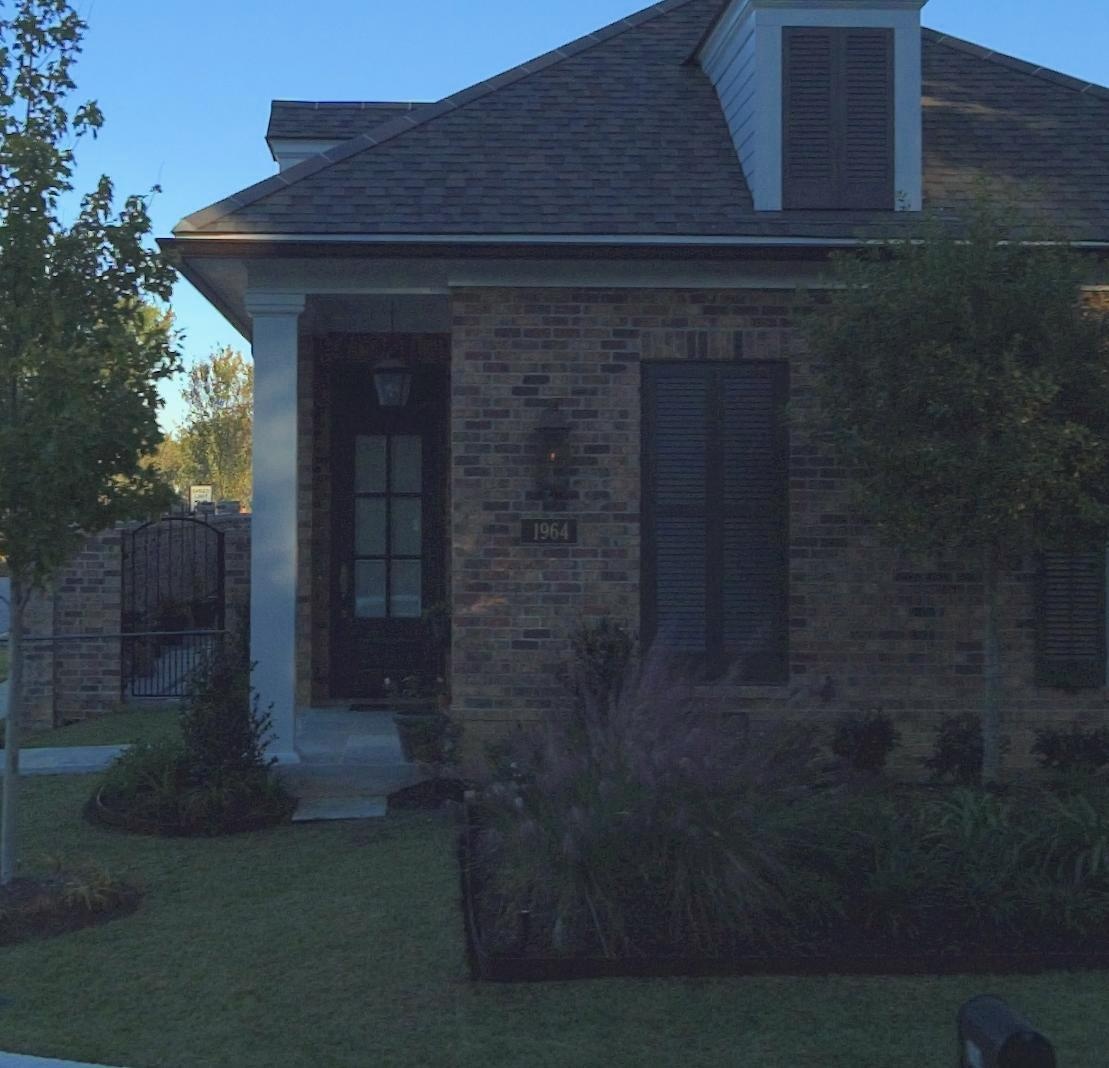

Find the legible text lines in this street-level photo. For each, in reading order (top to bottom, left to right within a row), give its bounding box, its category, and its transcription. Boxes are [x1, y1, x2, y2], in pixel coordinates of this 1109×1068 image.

[531, 520, 571, 542] StreetNumber: 1964